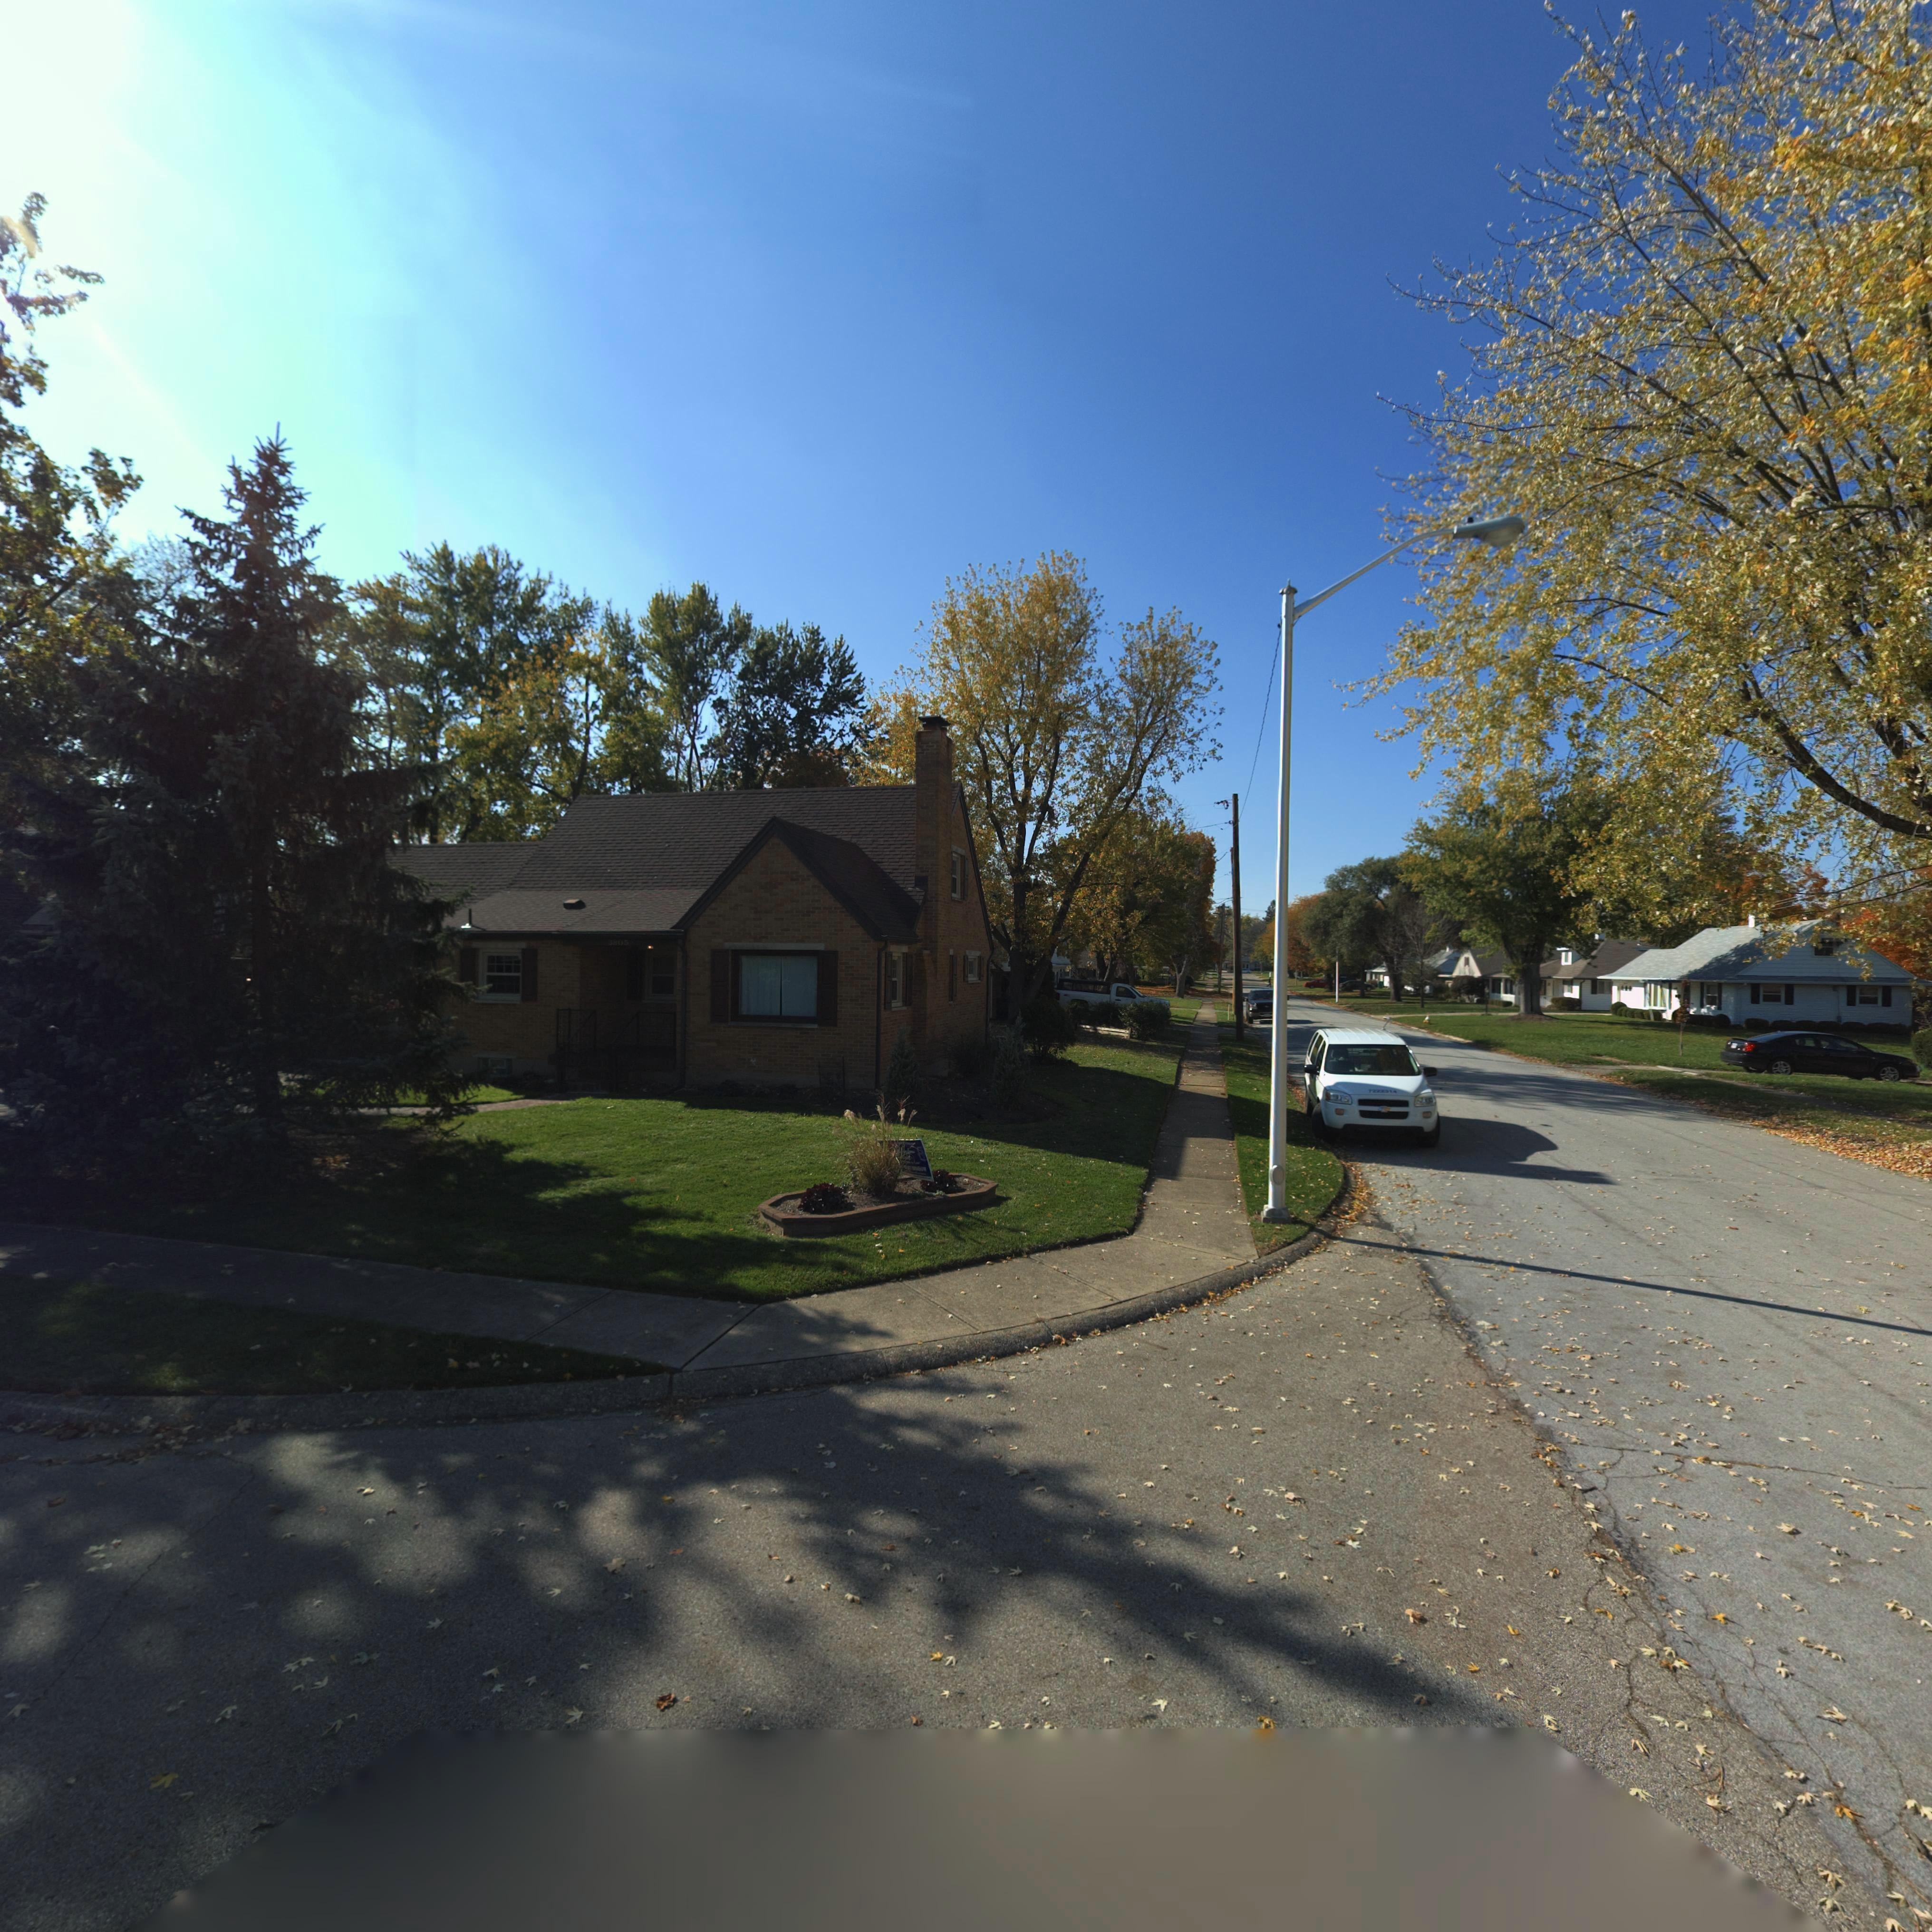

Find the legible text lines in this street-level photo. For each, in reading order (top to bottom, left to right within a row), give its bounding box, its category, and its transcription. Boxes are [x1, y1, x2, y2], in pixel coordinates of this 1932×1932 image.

[608, 939, 629, 946] StreetNumber: 3805
[1367, 1089, 1397, 1094] None: 7222314
[917, 1166, 927, 1172] None: DOW